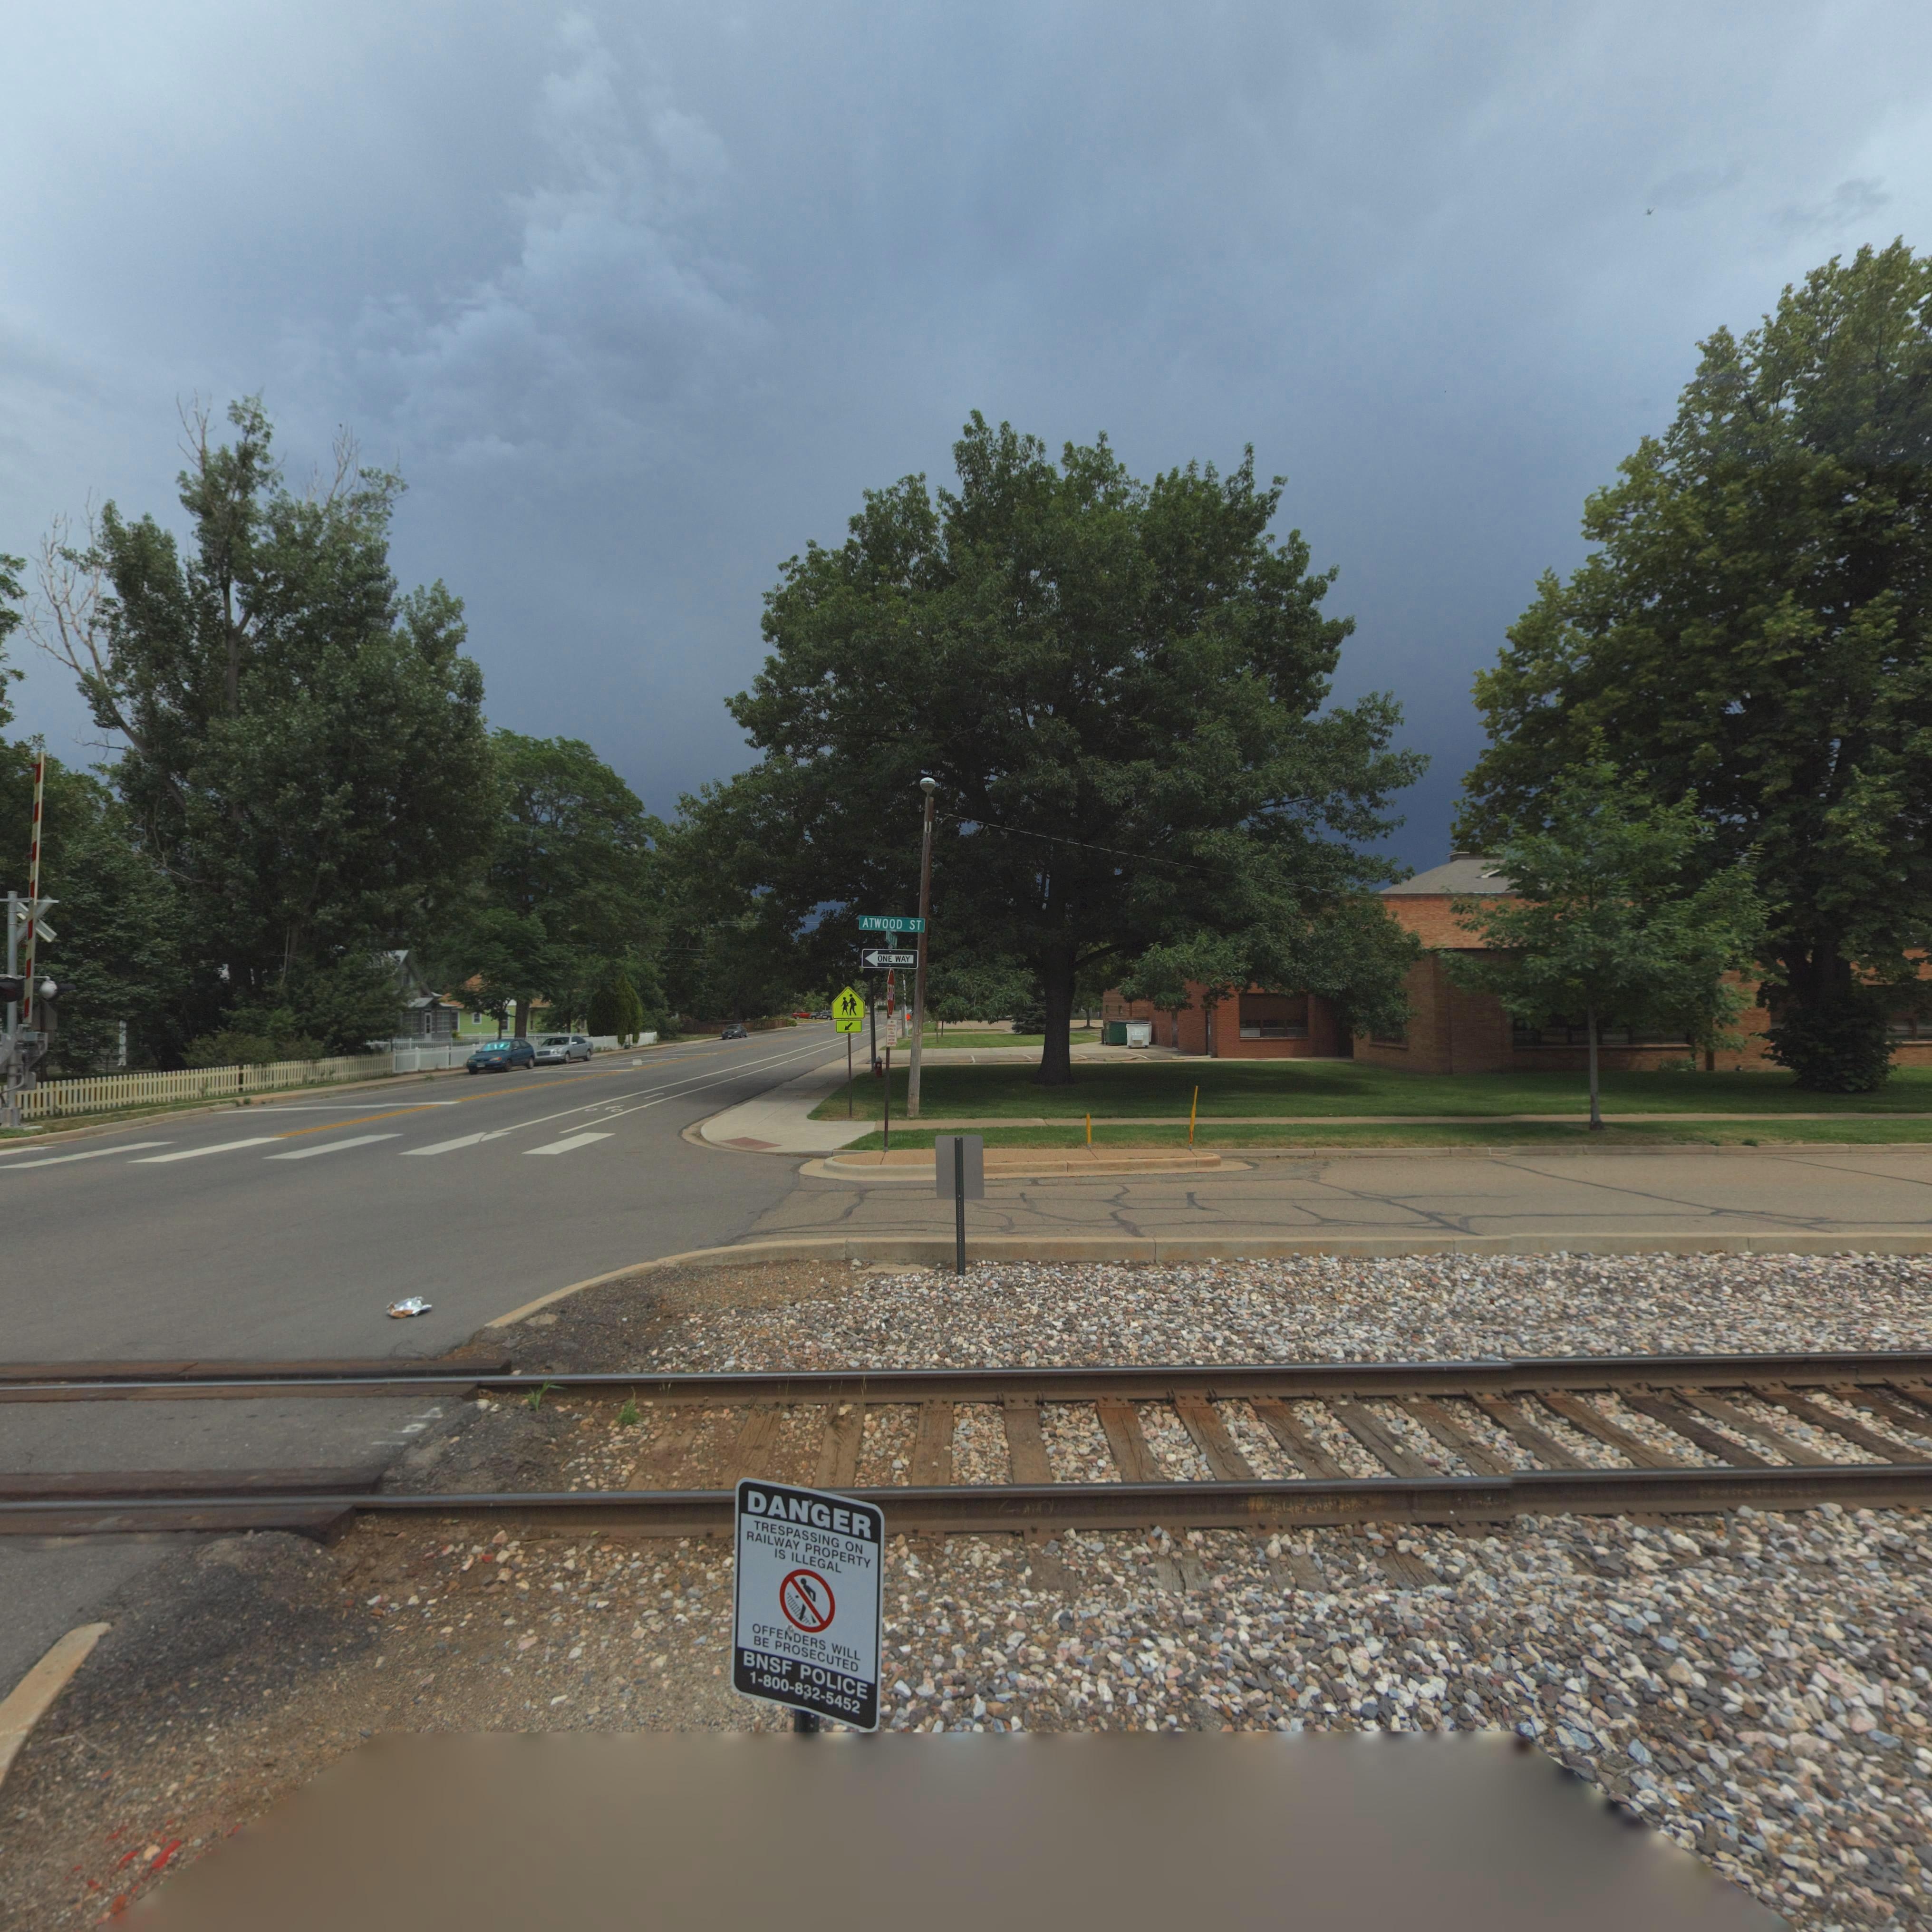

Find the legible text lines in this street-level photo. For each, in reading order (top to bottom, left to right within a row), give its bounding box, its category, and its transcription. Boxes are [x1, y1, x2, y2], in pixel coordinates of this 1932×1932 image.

[862, 917, 922, 930] StreetName: ATWOOD ST